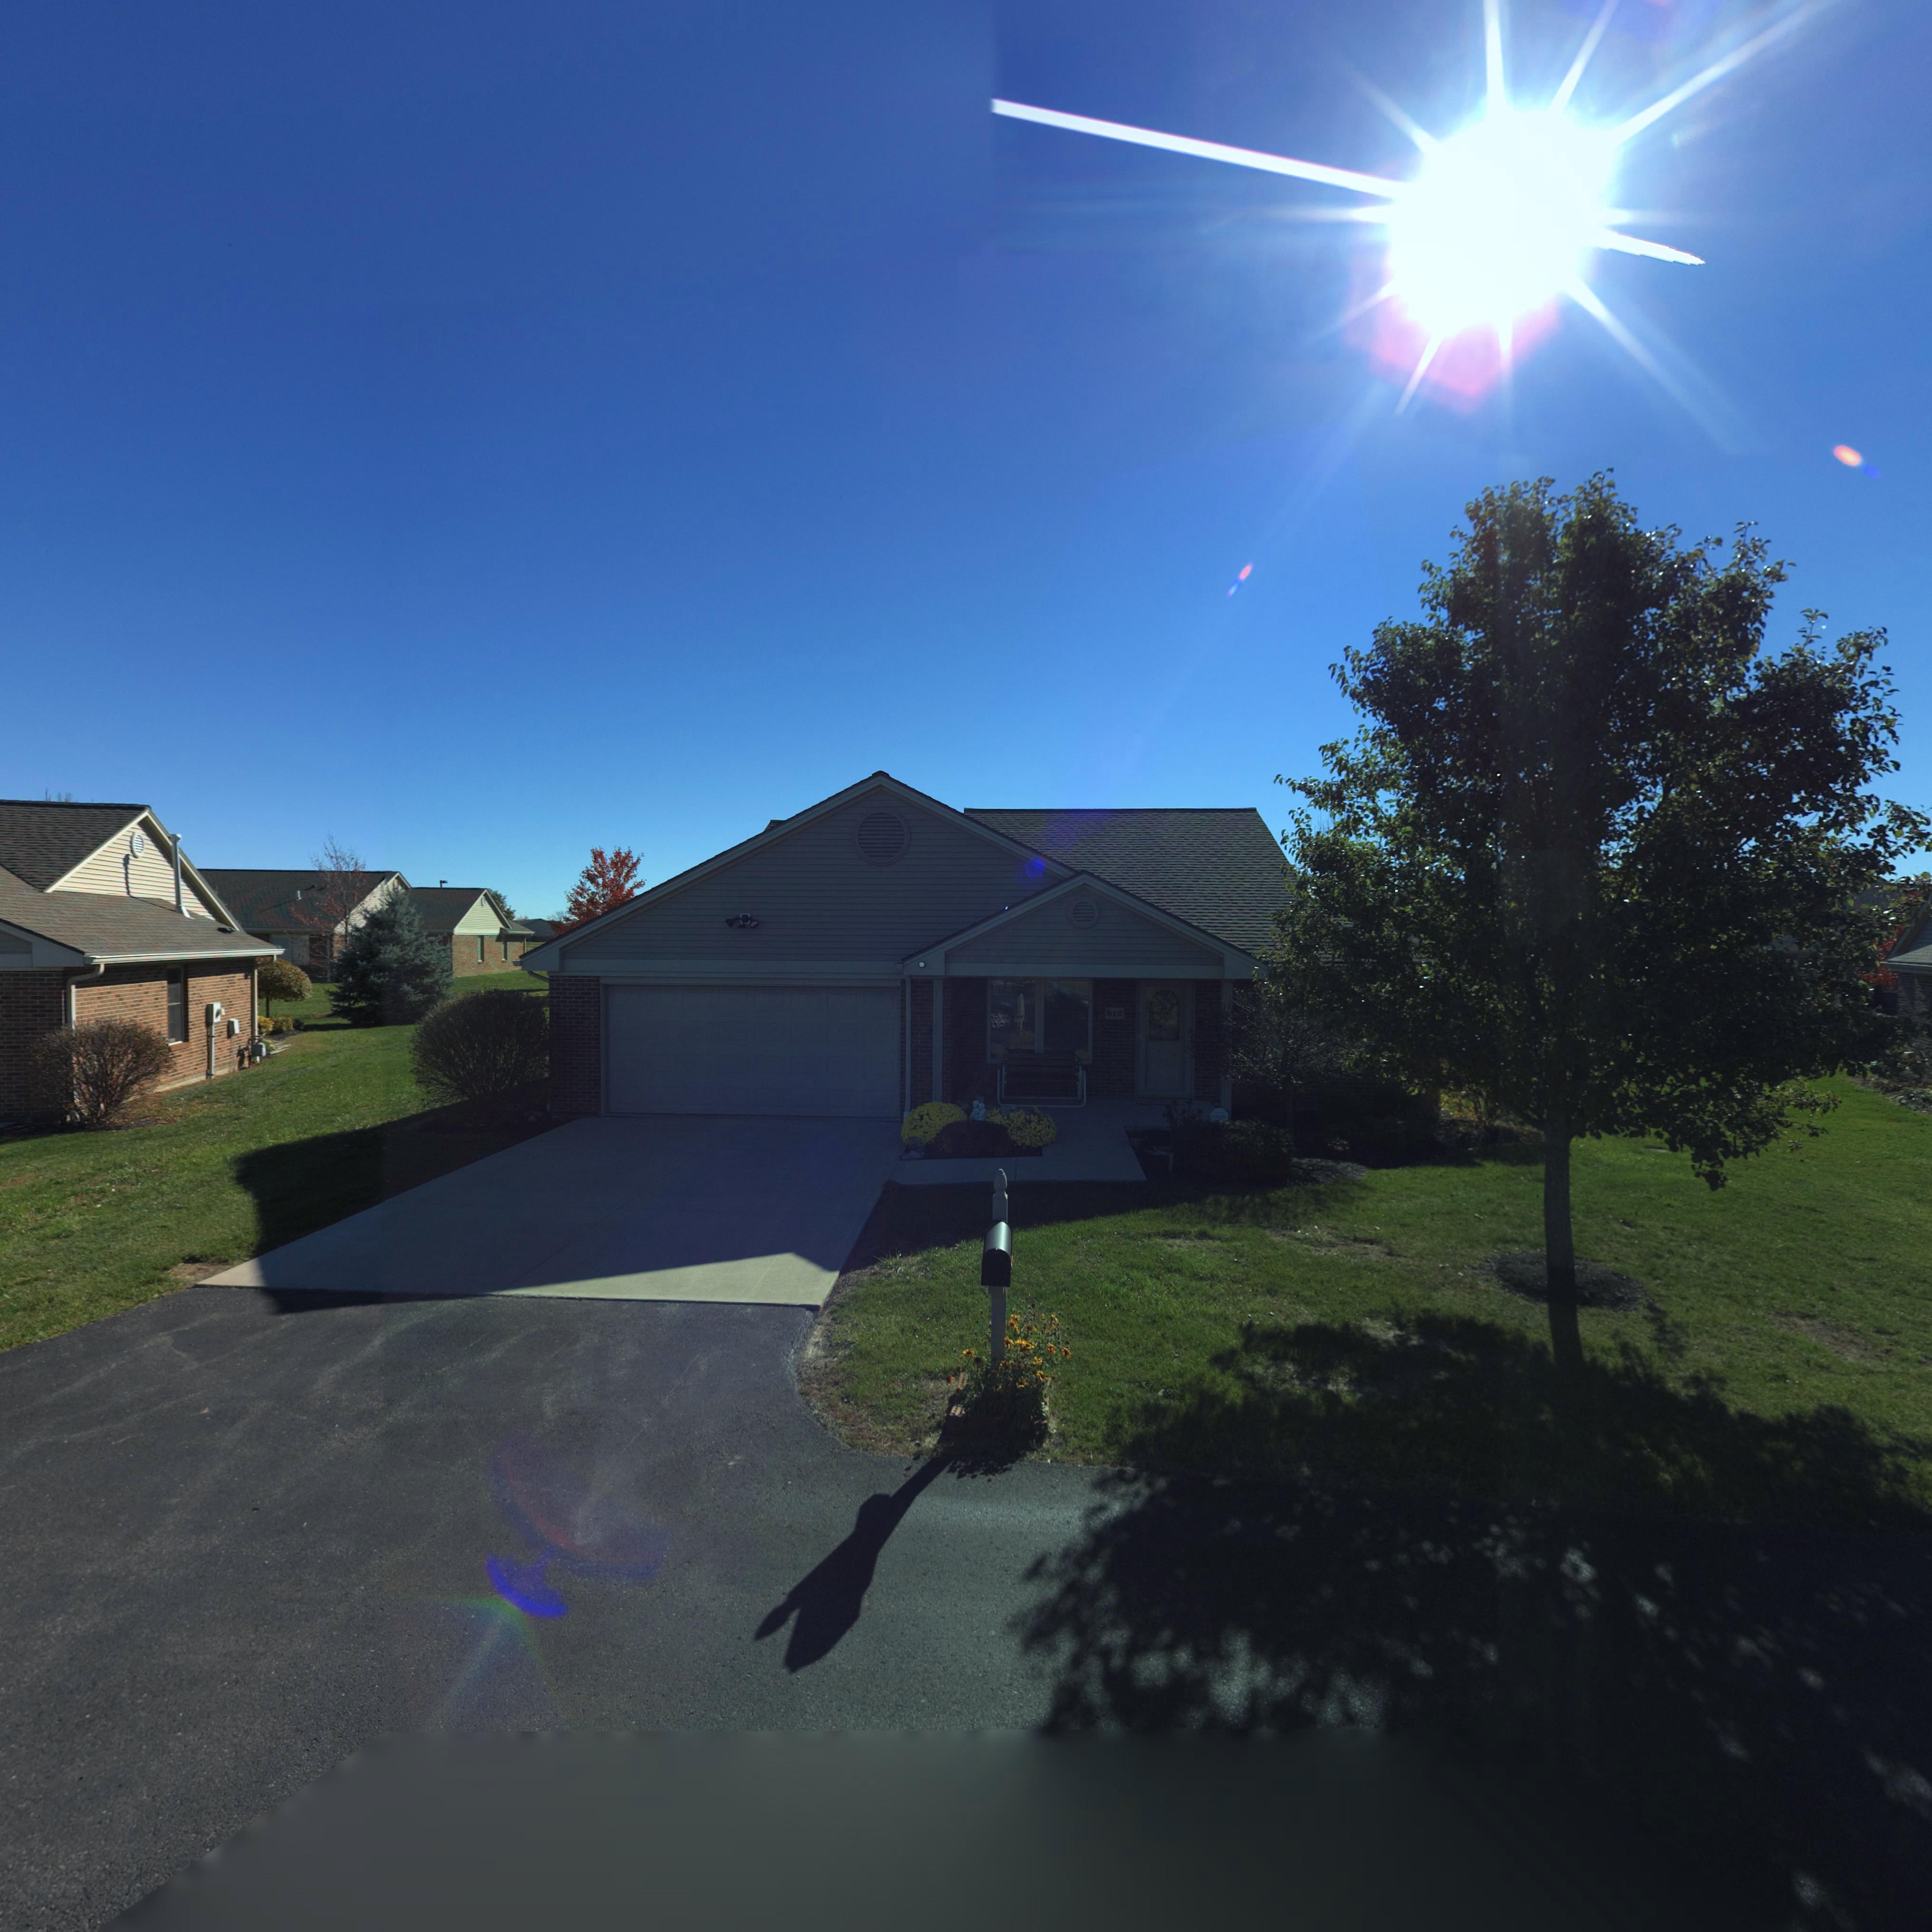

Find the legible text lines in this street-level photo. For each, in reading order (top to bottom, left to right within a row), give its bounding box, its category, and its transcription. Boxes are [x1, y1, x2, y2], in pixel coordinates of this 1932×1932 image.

[1106, 1010, 1123, 1017] StreetNumber: 812